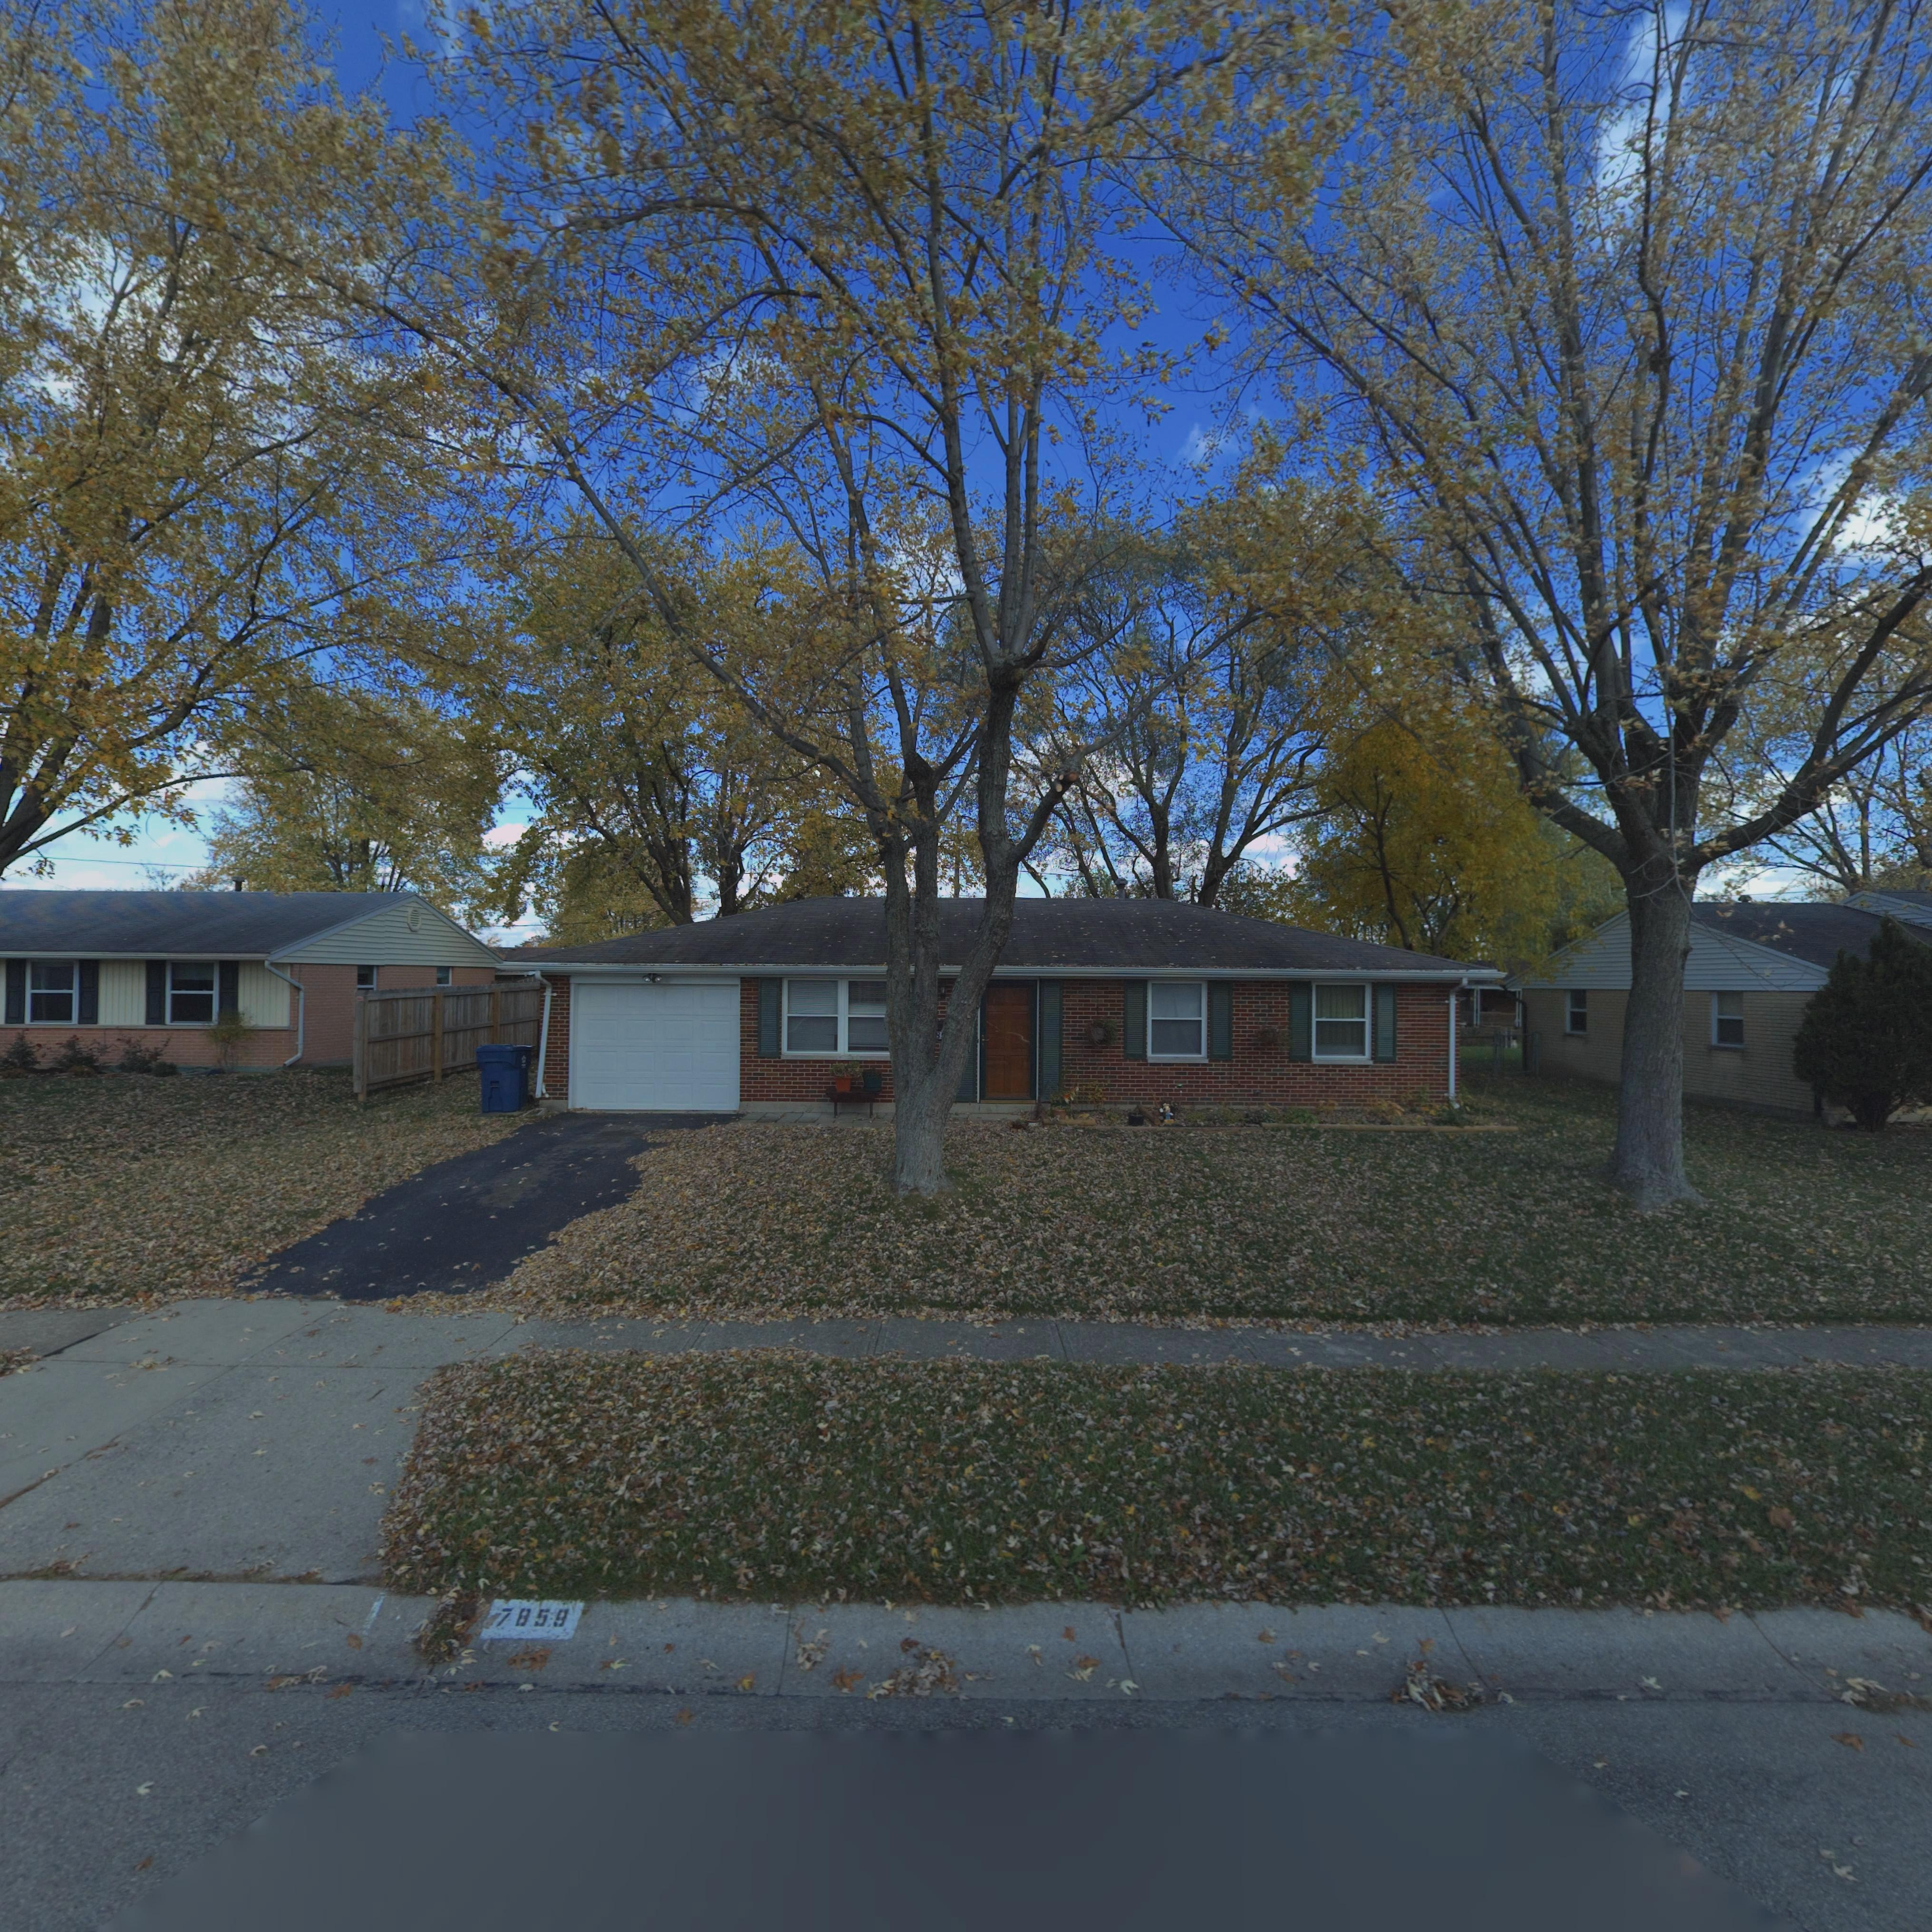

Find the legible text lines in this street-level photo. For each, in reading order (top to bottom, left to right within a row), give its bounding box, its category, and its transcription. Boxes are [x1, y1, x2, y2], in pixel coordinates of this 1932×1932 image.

[494, 1606, 570, 1628] StreetNumber: 7859